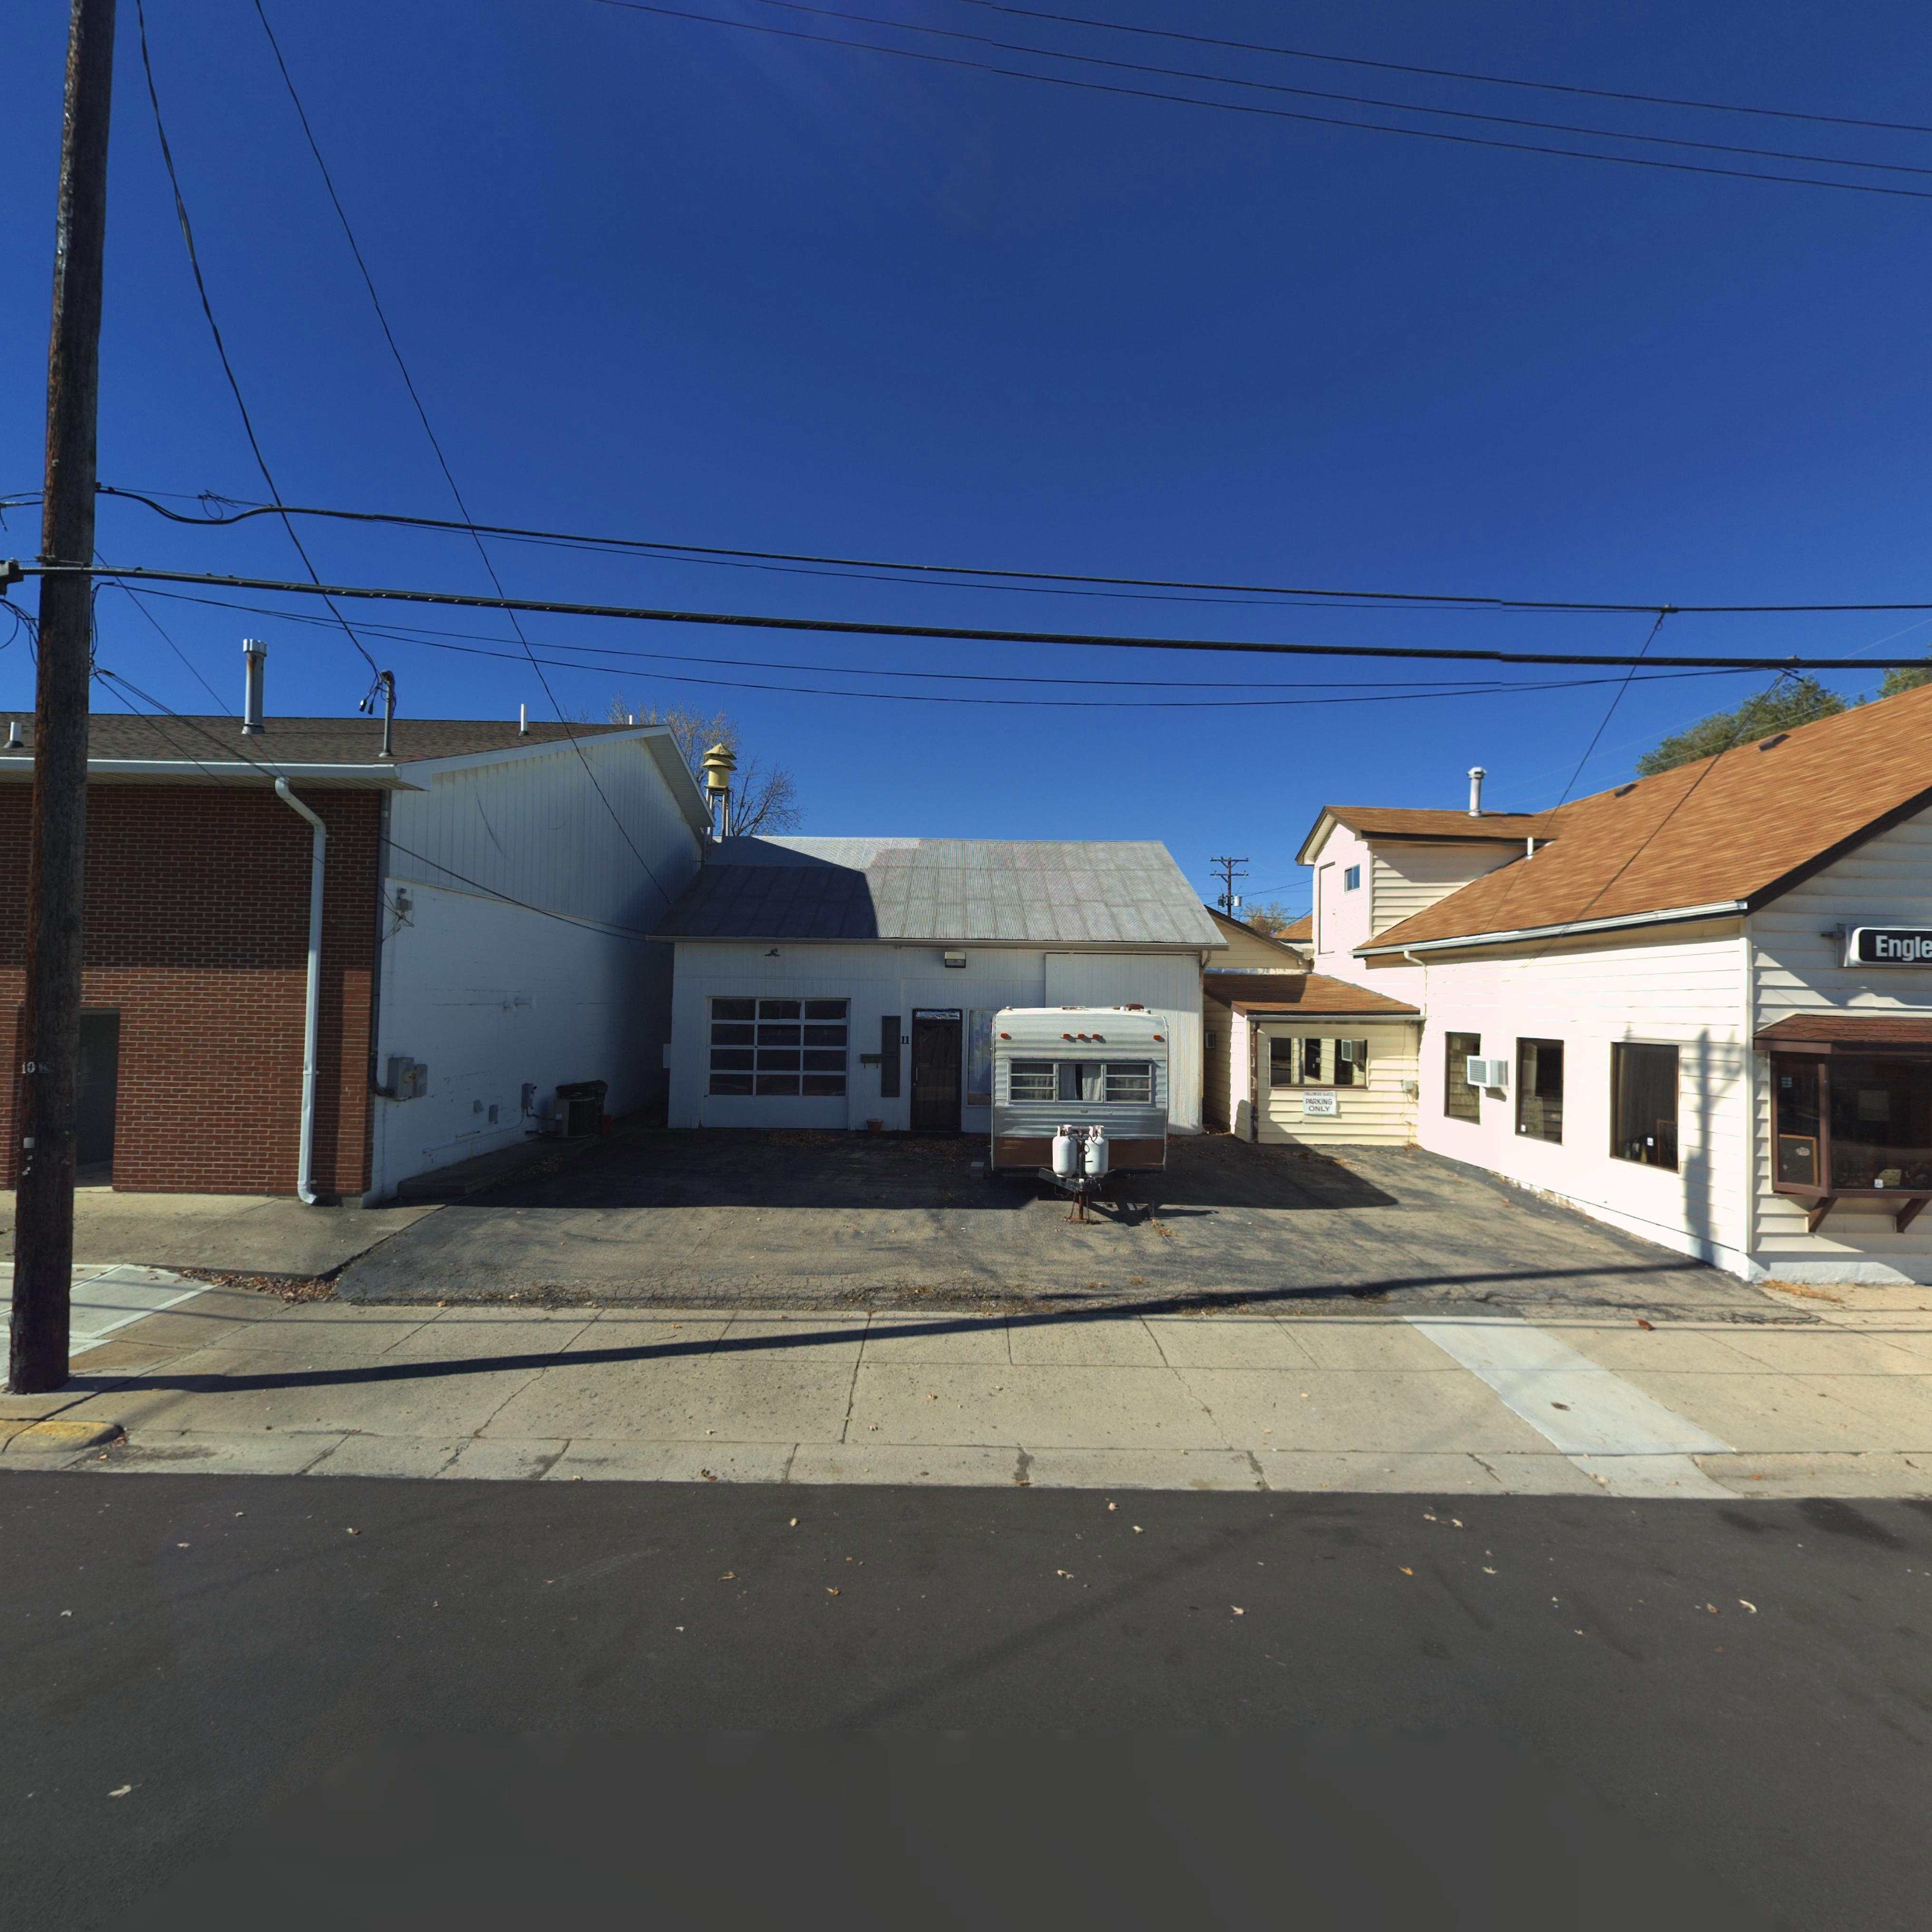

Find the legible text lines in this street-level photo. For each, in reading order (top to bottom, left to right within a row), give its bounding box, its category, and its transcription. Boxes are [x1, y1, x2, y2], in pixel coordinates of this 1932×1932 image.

[1874, 934, 1922, 963] BusinessName: Engl
[900, 1035, 909, 1044] StreetNumber: 11
[20, 1061, 51, 1074] None: 10K
[1305, 1098, 1333, 1105] None: PARKING
[1308, 1105, 1331, 1112] None: ONLY